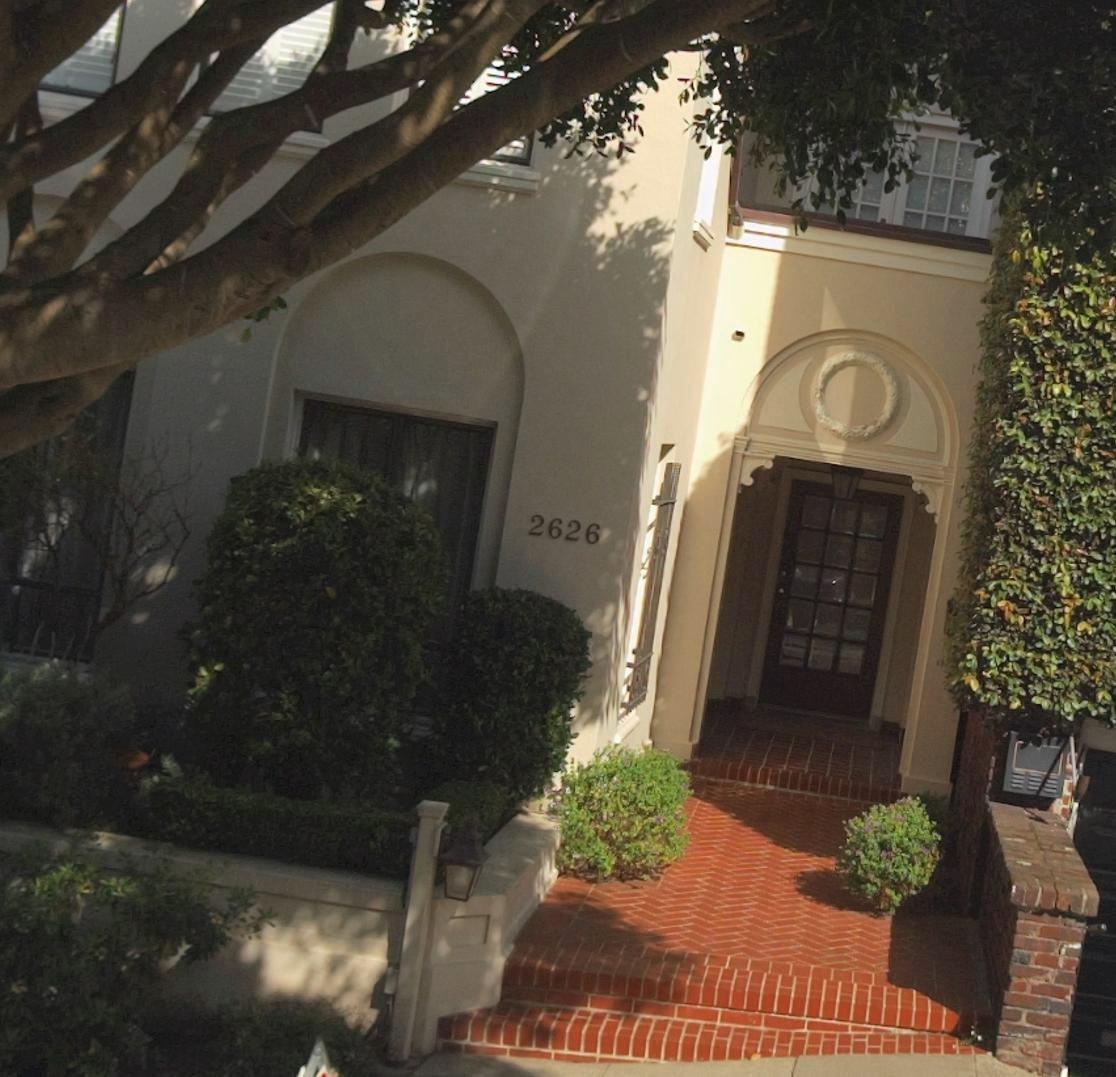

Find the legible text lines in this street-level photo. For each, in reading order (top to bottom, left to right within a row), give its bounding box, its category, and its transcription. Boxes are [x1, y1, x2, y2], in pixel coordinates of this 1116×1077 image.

[525, 511, 605, 548] StreetNumber: 2626